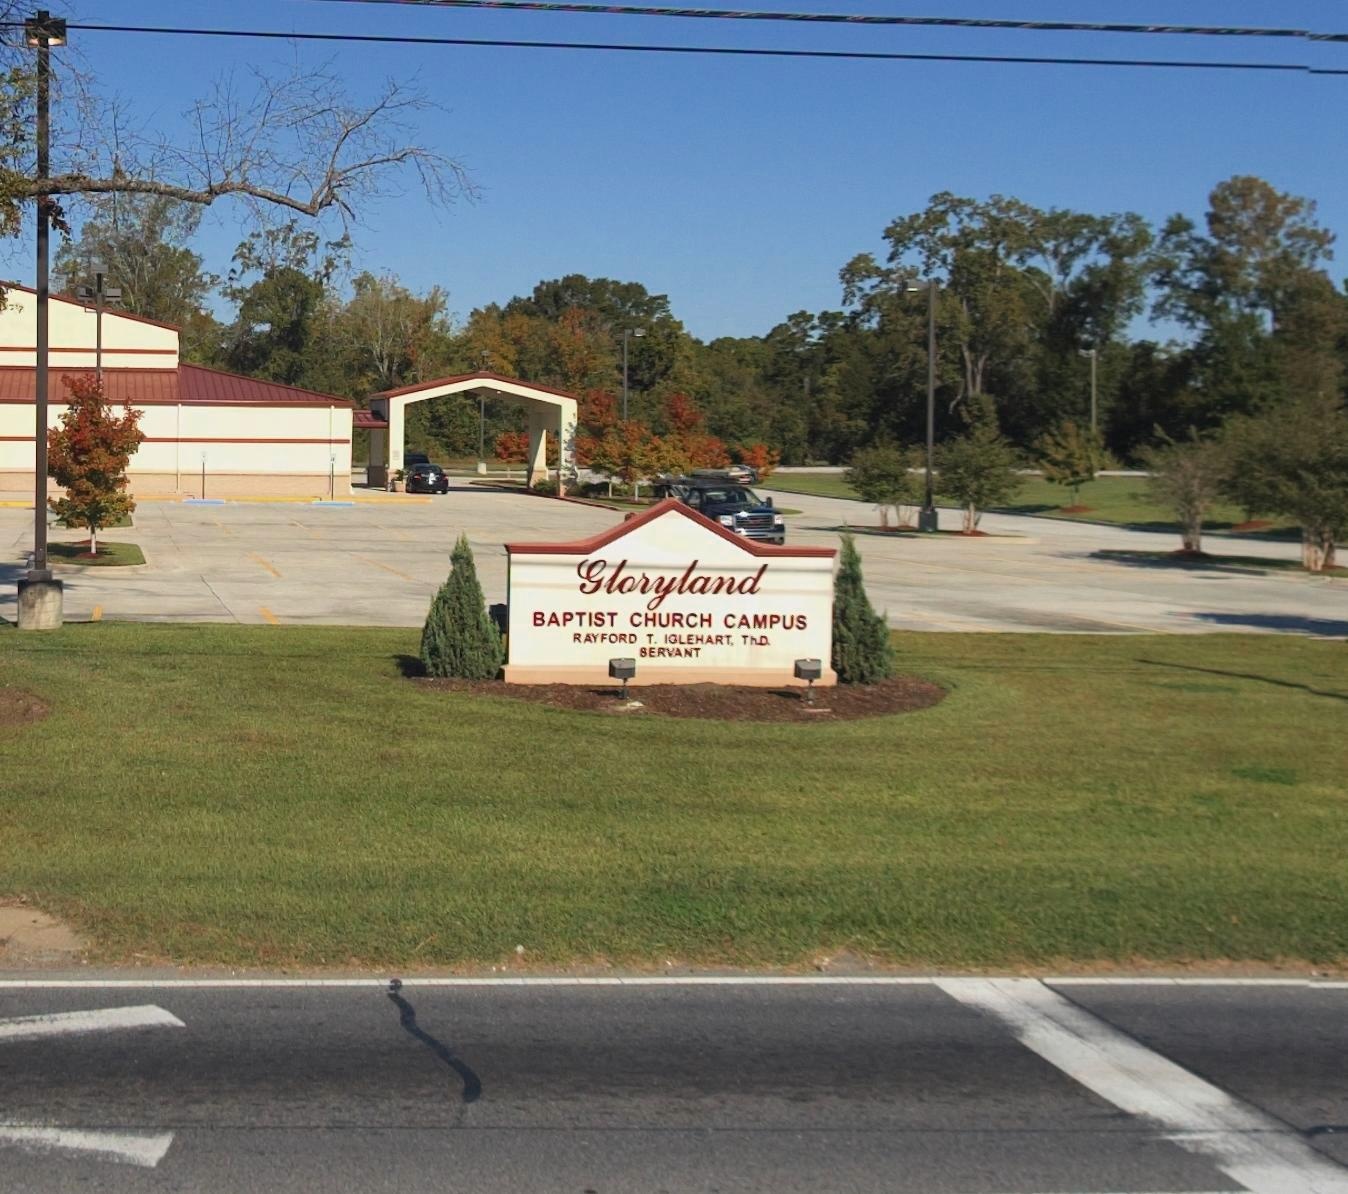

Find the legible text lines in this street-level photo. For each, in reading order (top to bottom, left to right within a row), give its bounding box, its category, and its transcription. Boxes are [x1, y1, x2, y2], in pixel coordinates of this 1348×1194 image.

[573, 557, 775, 614] BusinessName: Gloryland
[531, 608, 810, 633] BusinessName: BAPTIST CHURCH CAMPUS
[571, 631, 773, 648] None: RAYFORD T. IGLEHART, Th.D.
[637, 644, 704, 661] None: BERVANT